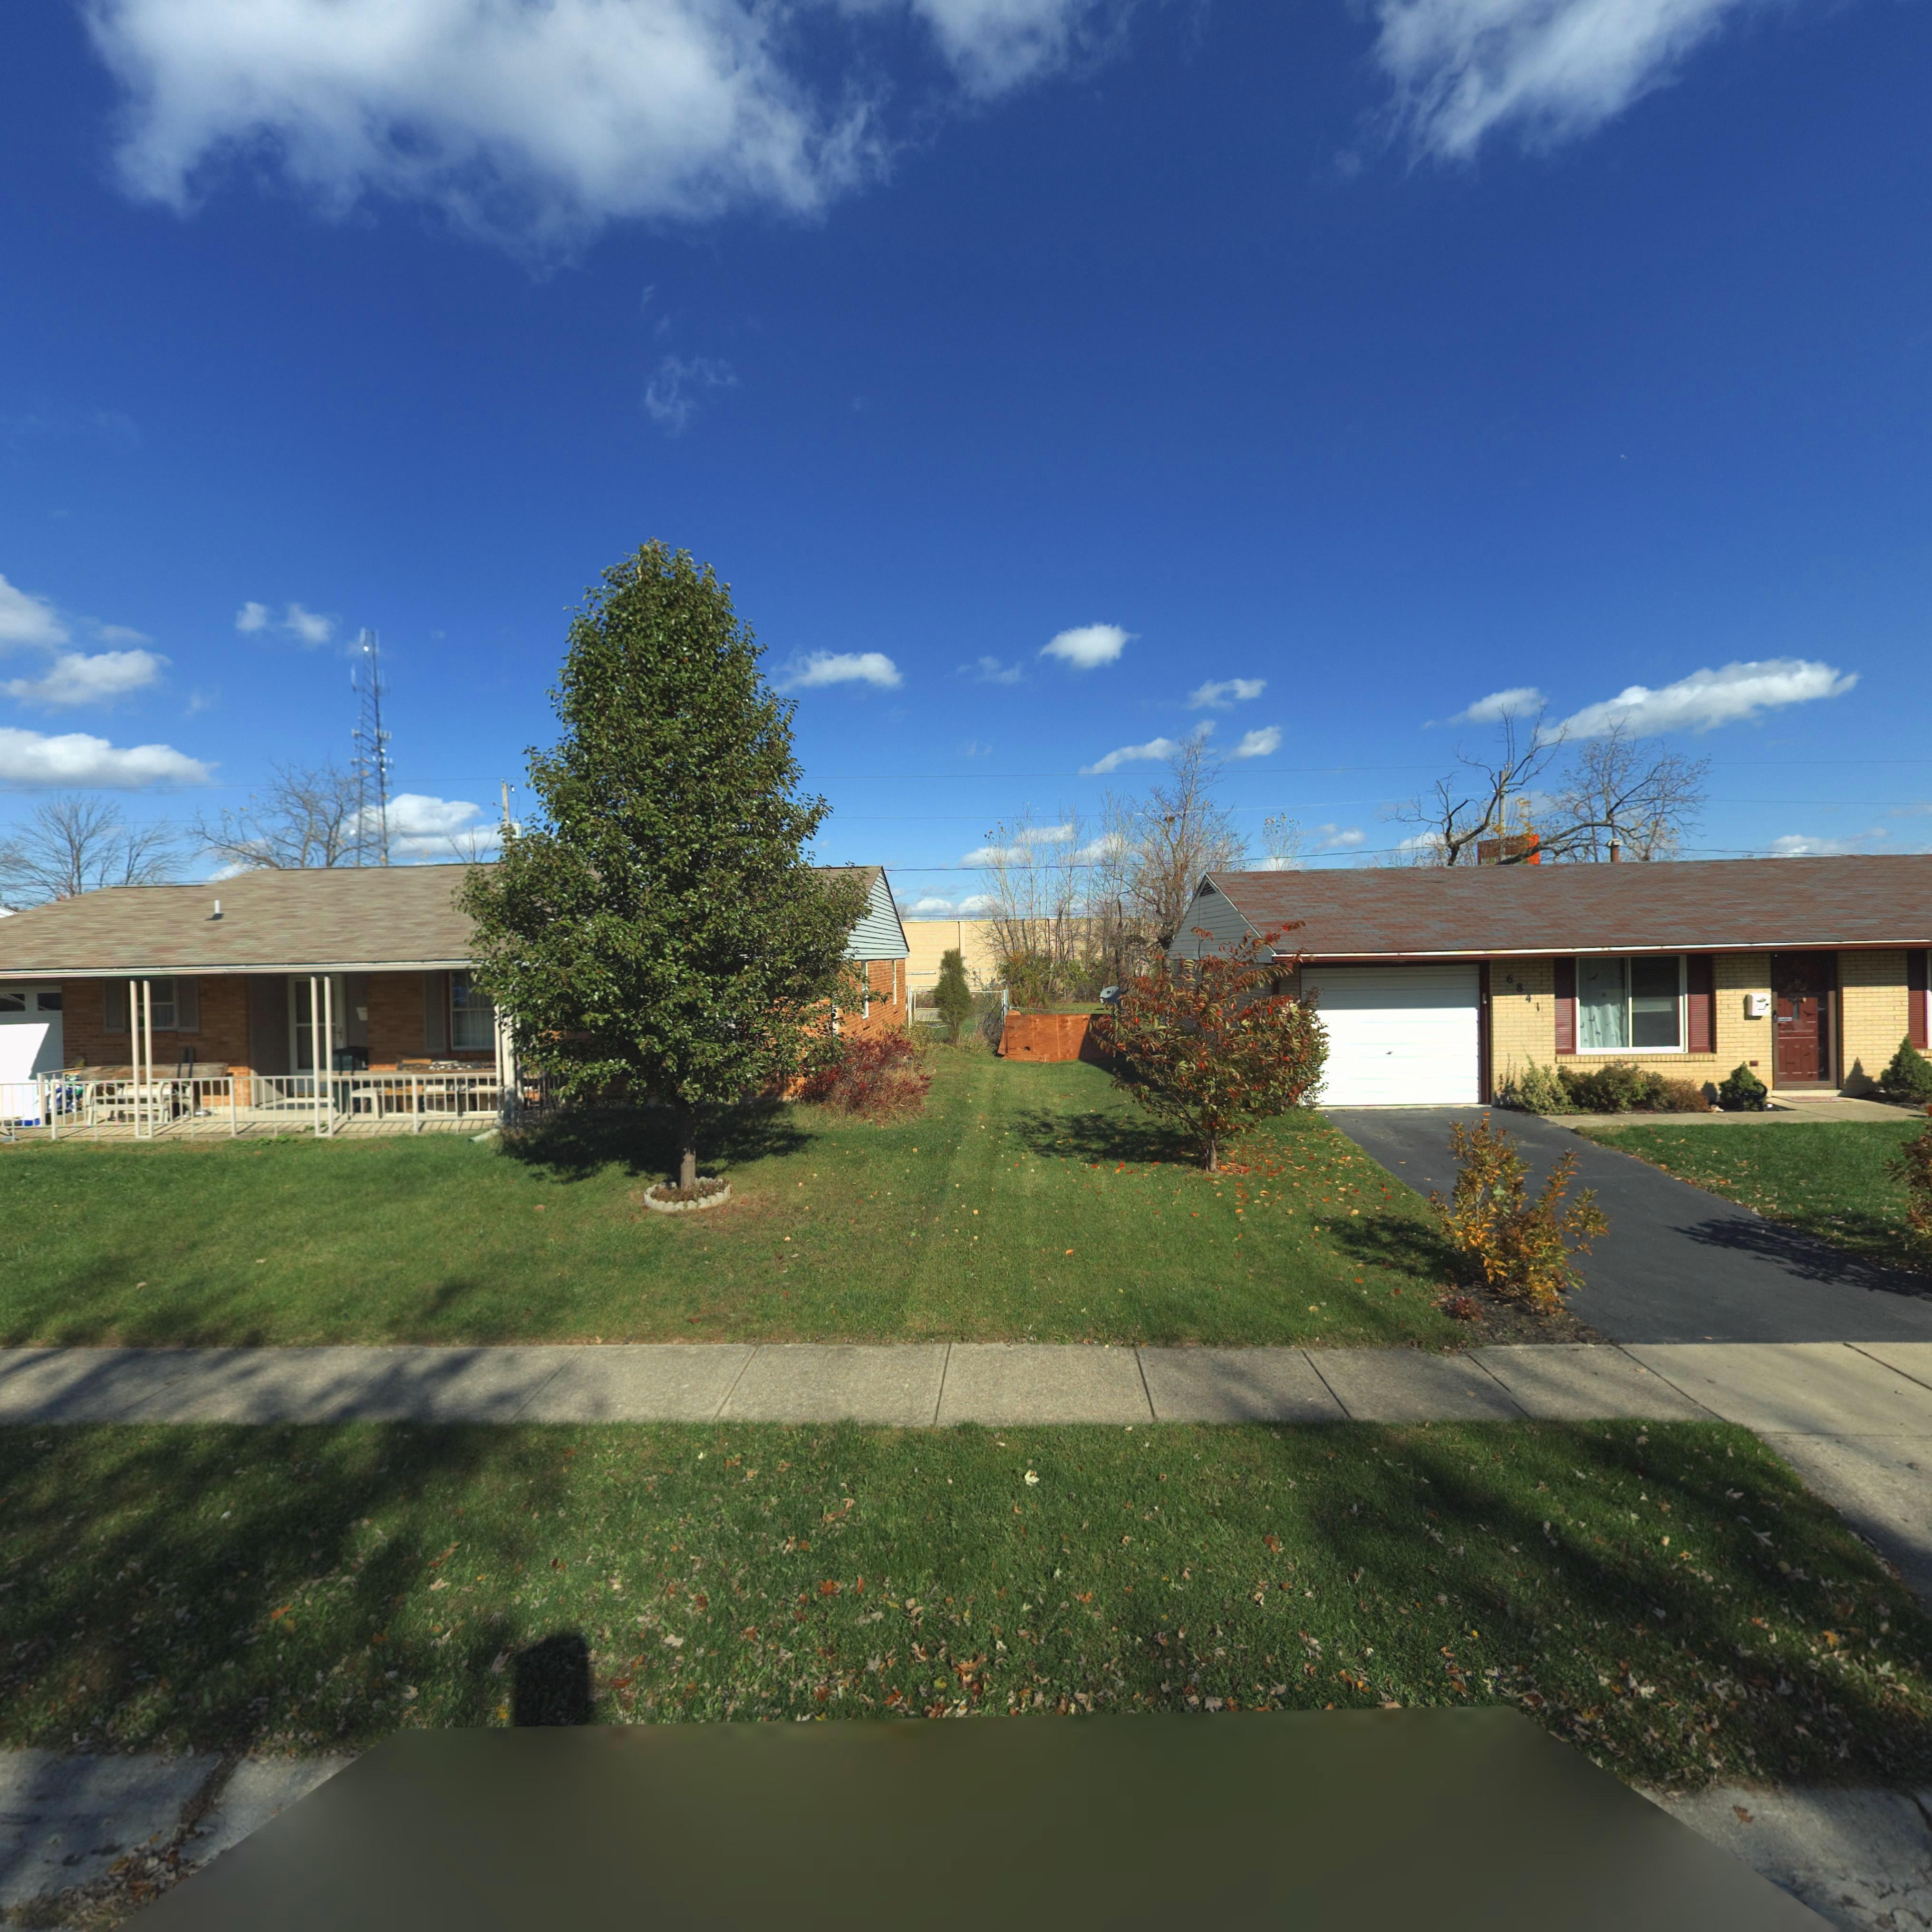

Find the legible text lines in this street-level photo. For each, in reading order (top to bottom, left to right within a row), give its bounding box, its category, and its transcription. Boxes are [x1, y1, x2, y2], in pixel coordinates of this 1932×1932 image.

[1505, 972, 1542, 1013] StreetNumber: 6841